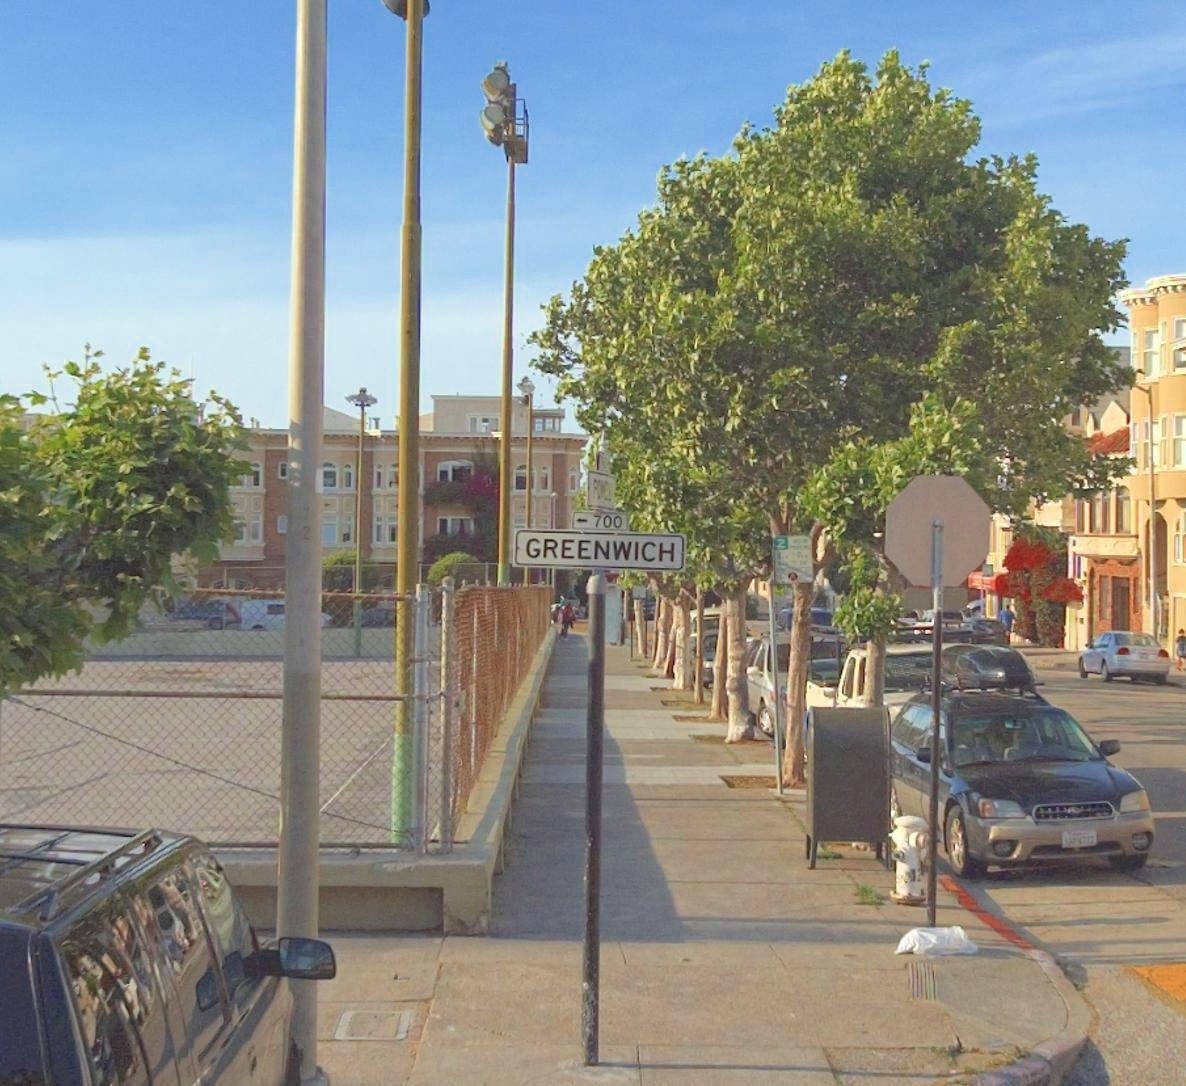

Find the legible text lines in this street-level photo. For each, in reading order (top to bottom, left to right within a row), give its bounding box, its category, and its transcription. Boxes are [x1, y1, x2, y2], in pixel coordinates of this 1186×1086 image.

[574, 512, 624, 530] StreetNumberRange: <-700
[523, 535, 678, 565] StreetName: GREENWICH
[774, 536, 789, 550] None: 2